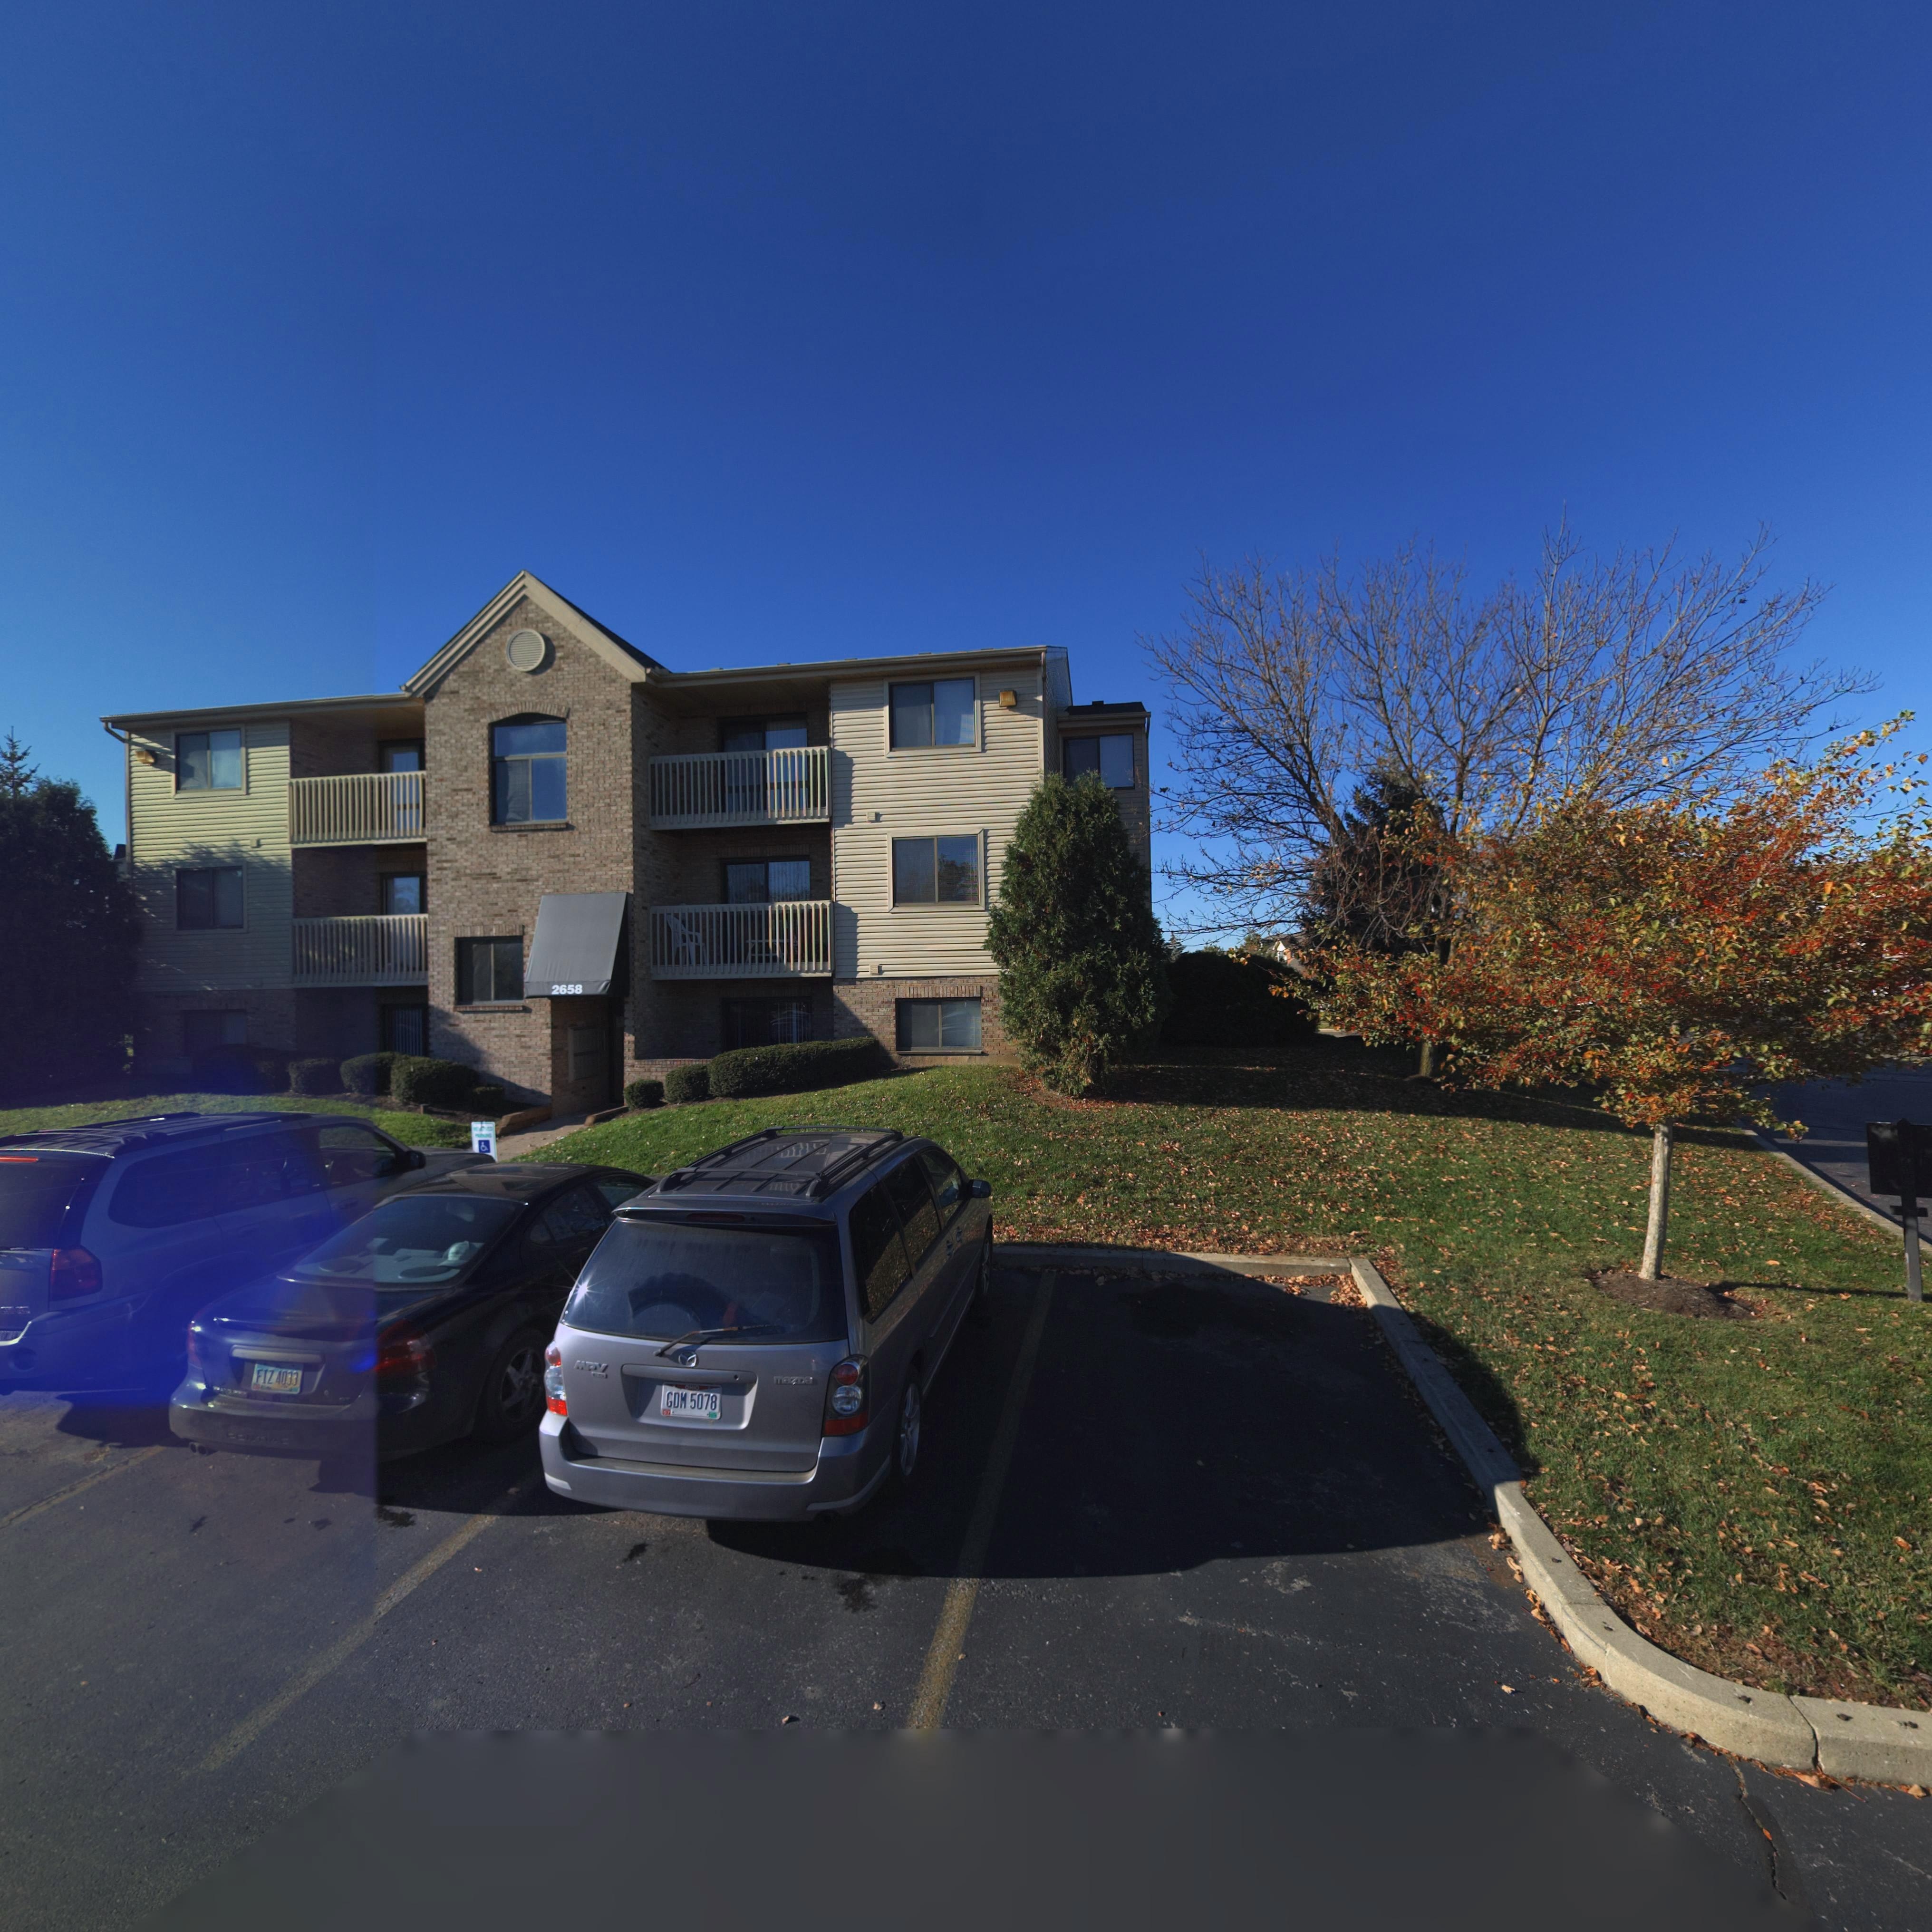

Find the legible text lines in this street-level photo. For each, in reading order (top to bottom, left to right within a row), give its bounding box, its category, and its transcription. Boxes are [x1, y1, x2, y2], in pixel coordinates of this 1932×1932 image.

[550, 983, 584, 996] StreetNumber: 2658